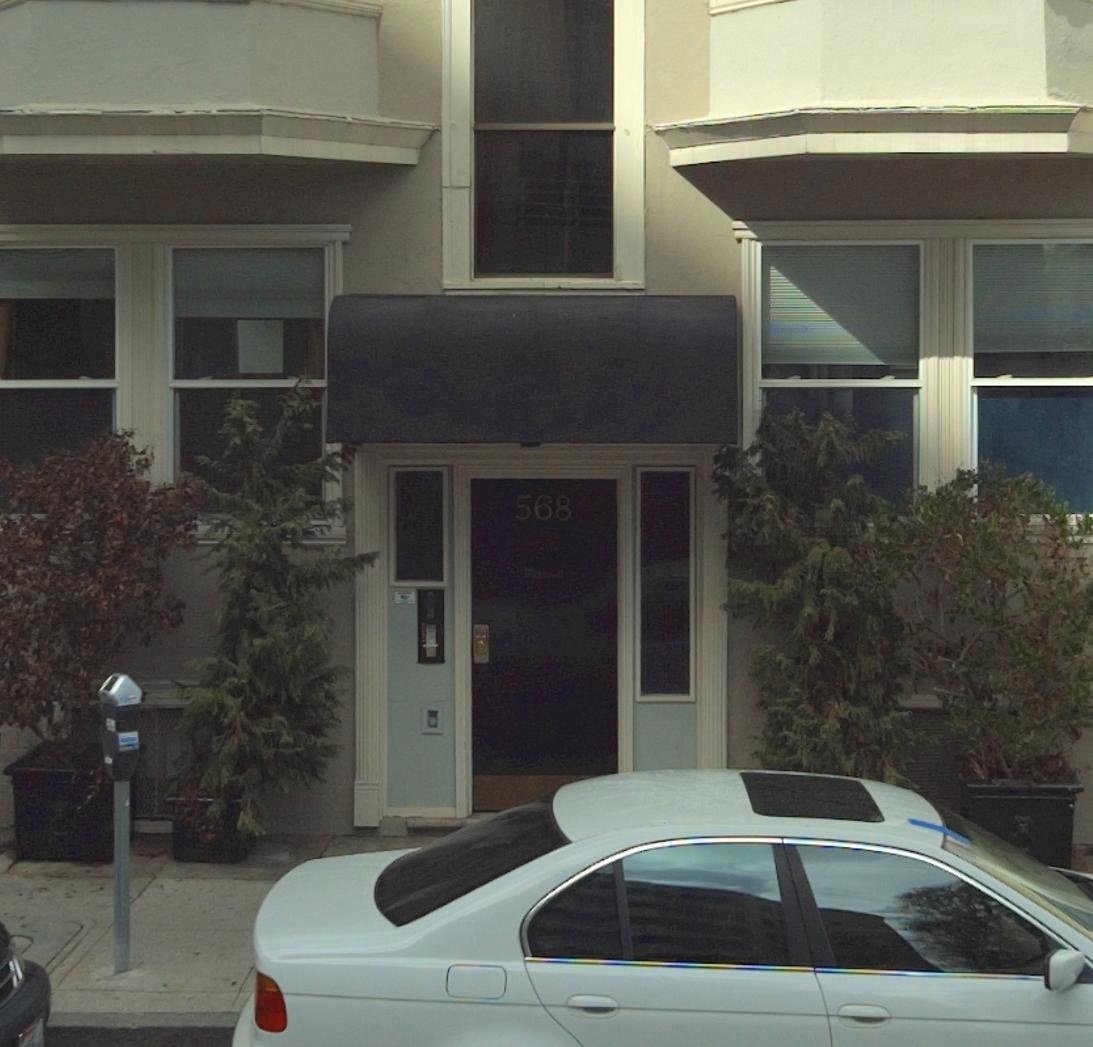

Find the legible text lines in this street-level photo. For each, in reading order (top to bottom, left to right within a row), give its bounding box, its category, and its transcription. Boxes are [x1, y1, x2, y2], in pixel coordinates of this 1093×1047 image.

[514, 494, 573, 522] StreetNumber: 568